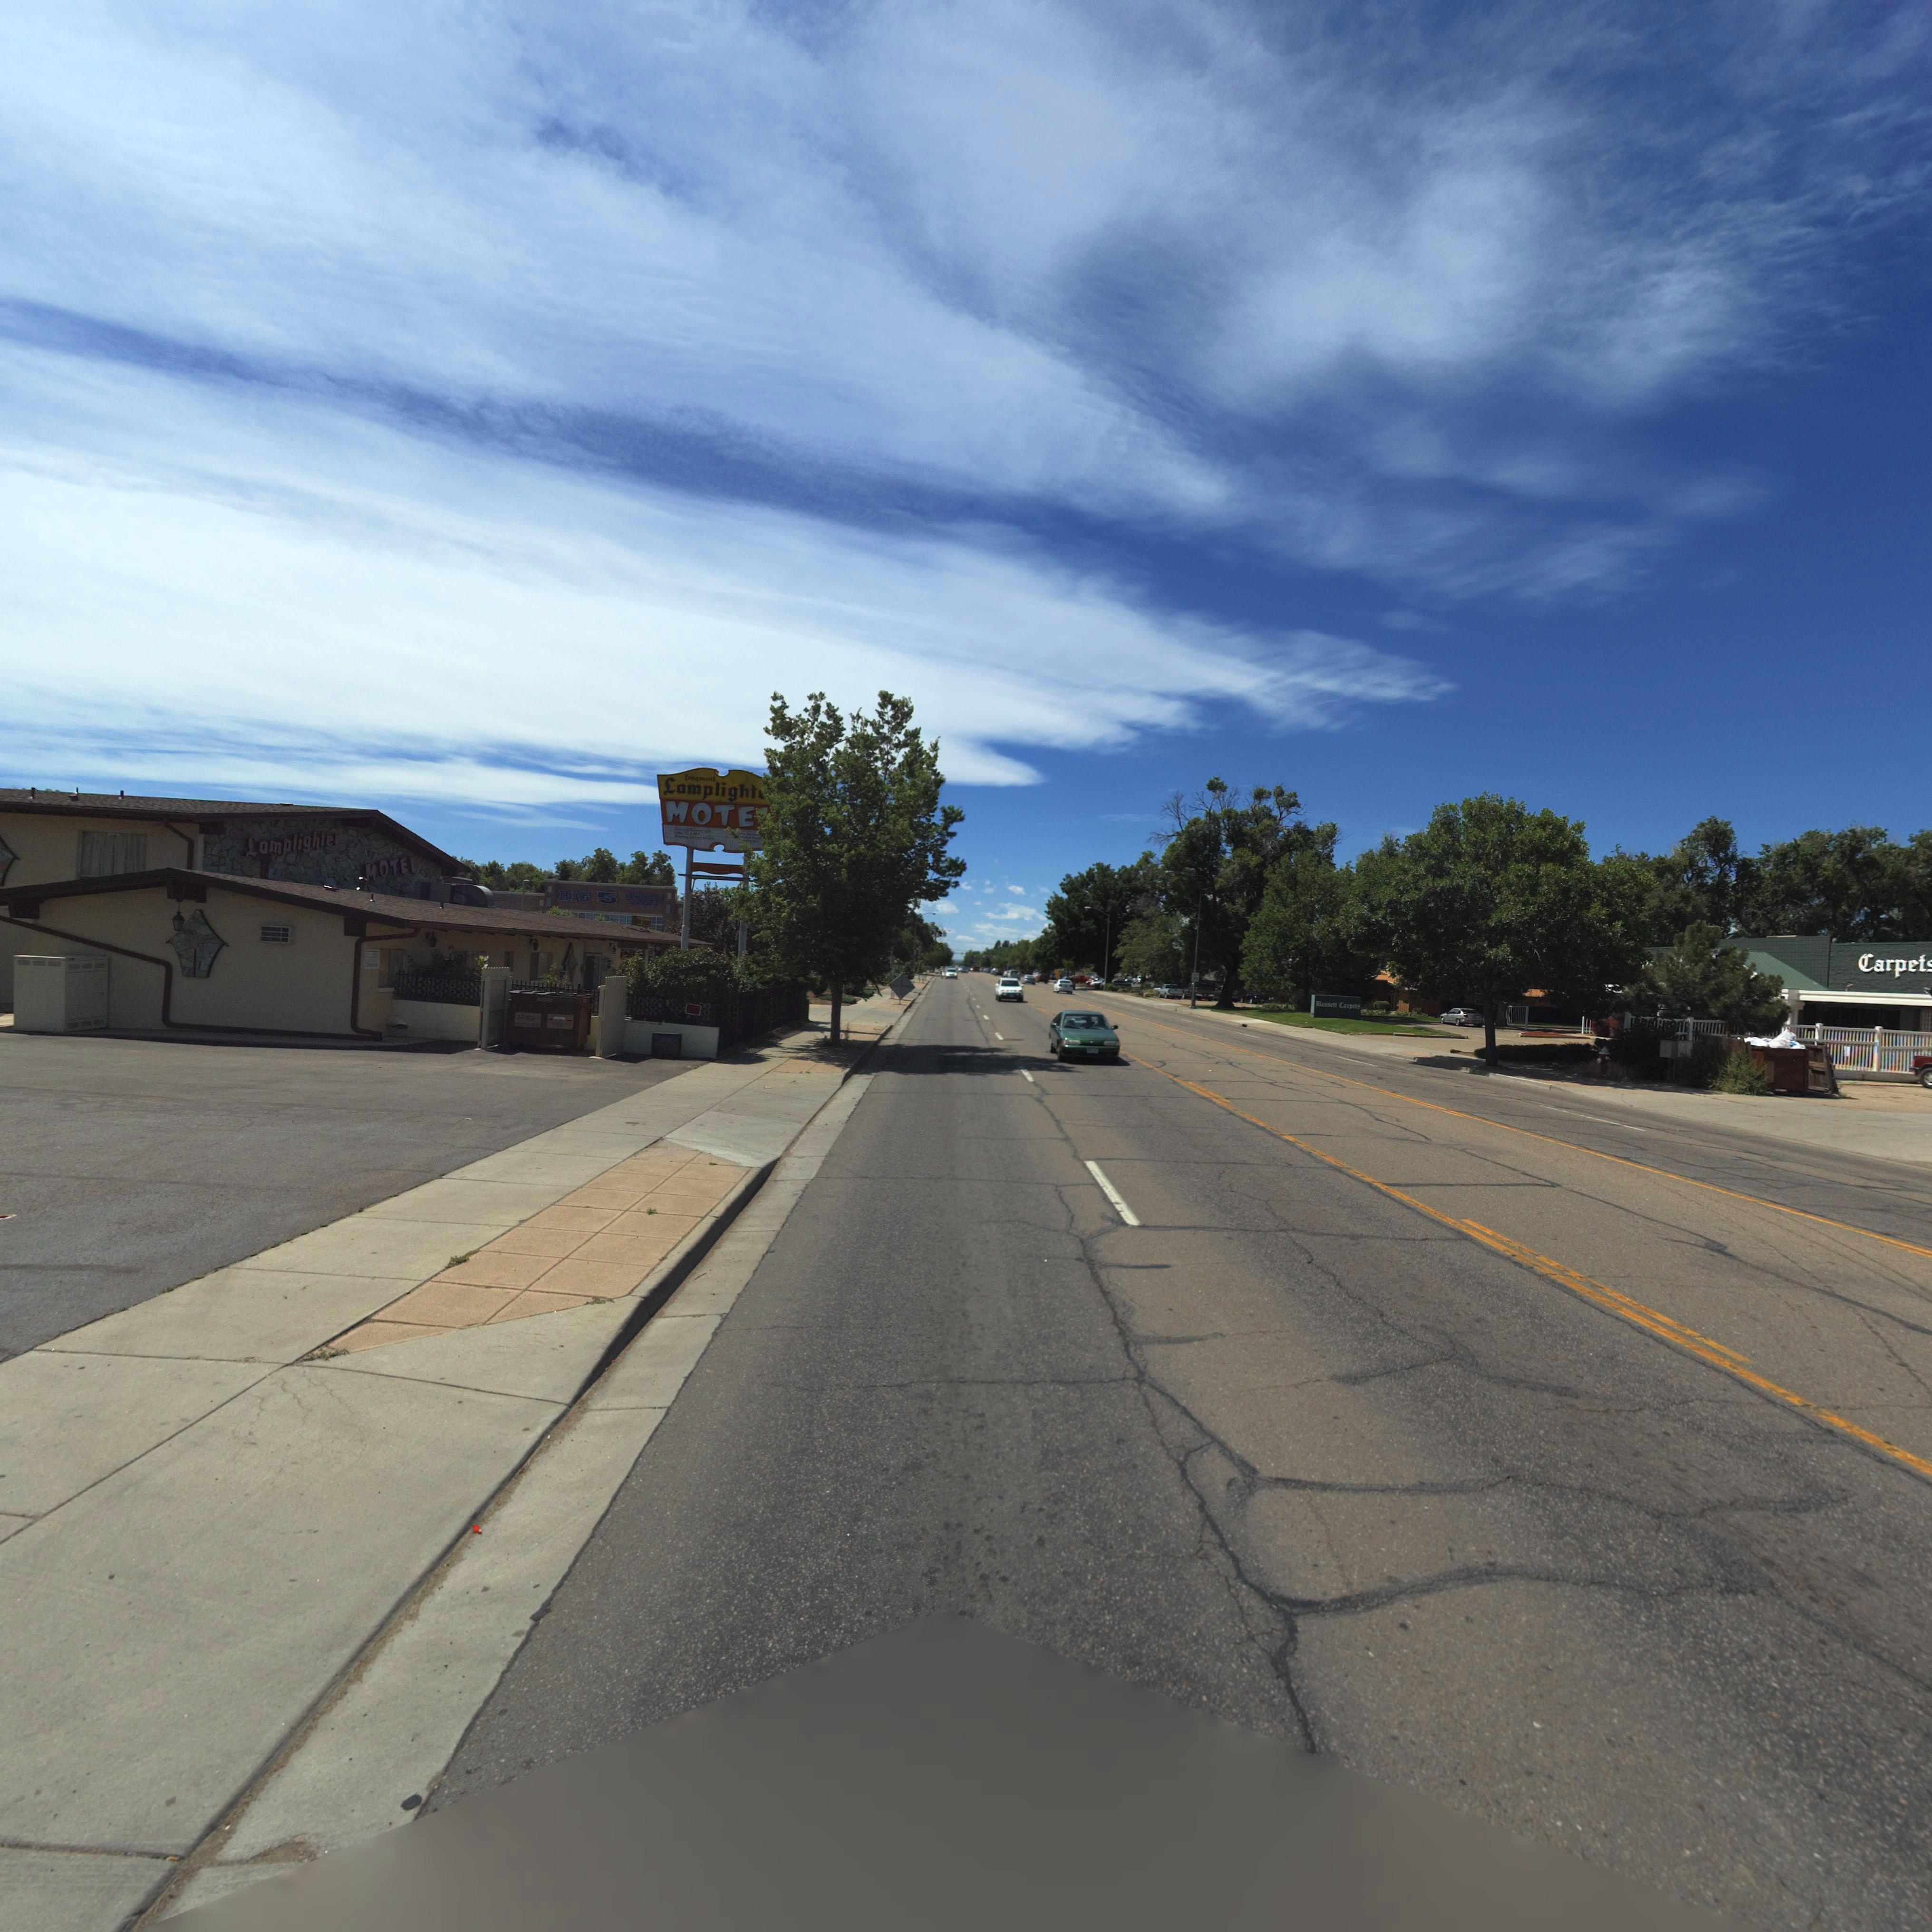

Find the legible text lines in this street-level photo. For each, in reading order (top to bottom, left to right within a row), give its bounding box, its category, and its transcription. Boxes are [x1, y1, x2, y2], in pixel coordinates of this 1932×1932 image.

[663, 776, 764, 802] BusinessName: Lamplight*
[664, 800, 755, 828] BusinessName: MOTE
[246, 830, 339, 857] BusinessName: Lamplighte*
[365, 856, 417, 880] BusinessName: MOTE*
[558, 889, 617, 904] BusinessName: BIG 5
[628, 899, 658, 907] BusinessName: *OO**
[623, 892, 664, 901] BusinessName: S*O*****
[1857, 952, 1927, 978] BusinessName: Carpet
[1315, 1000, 1360, 1009] BusinessName: **s**t* Carp**s